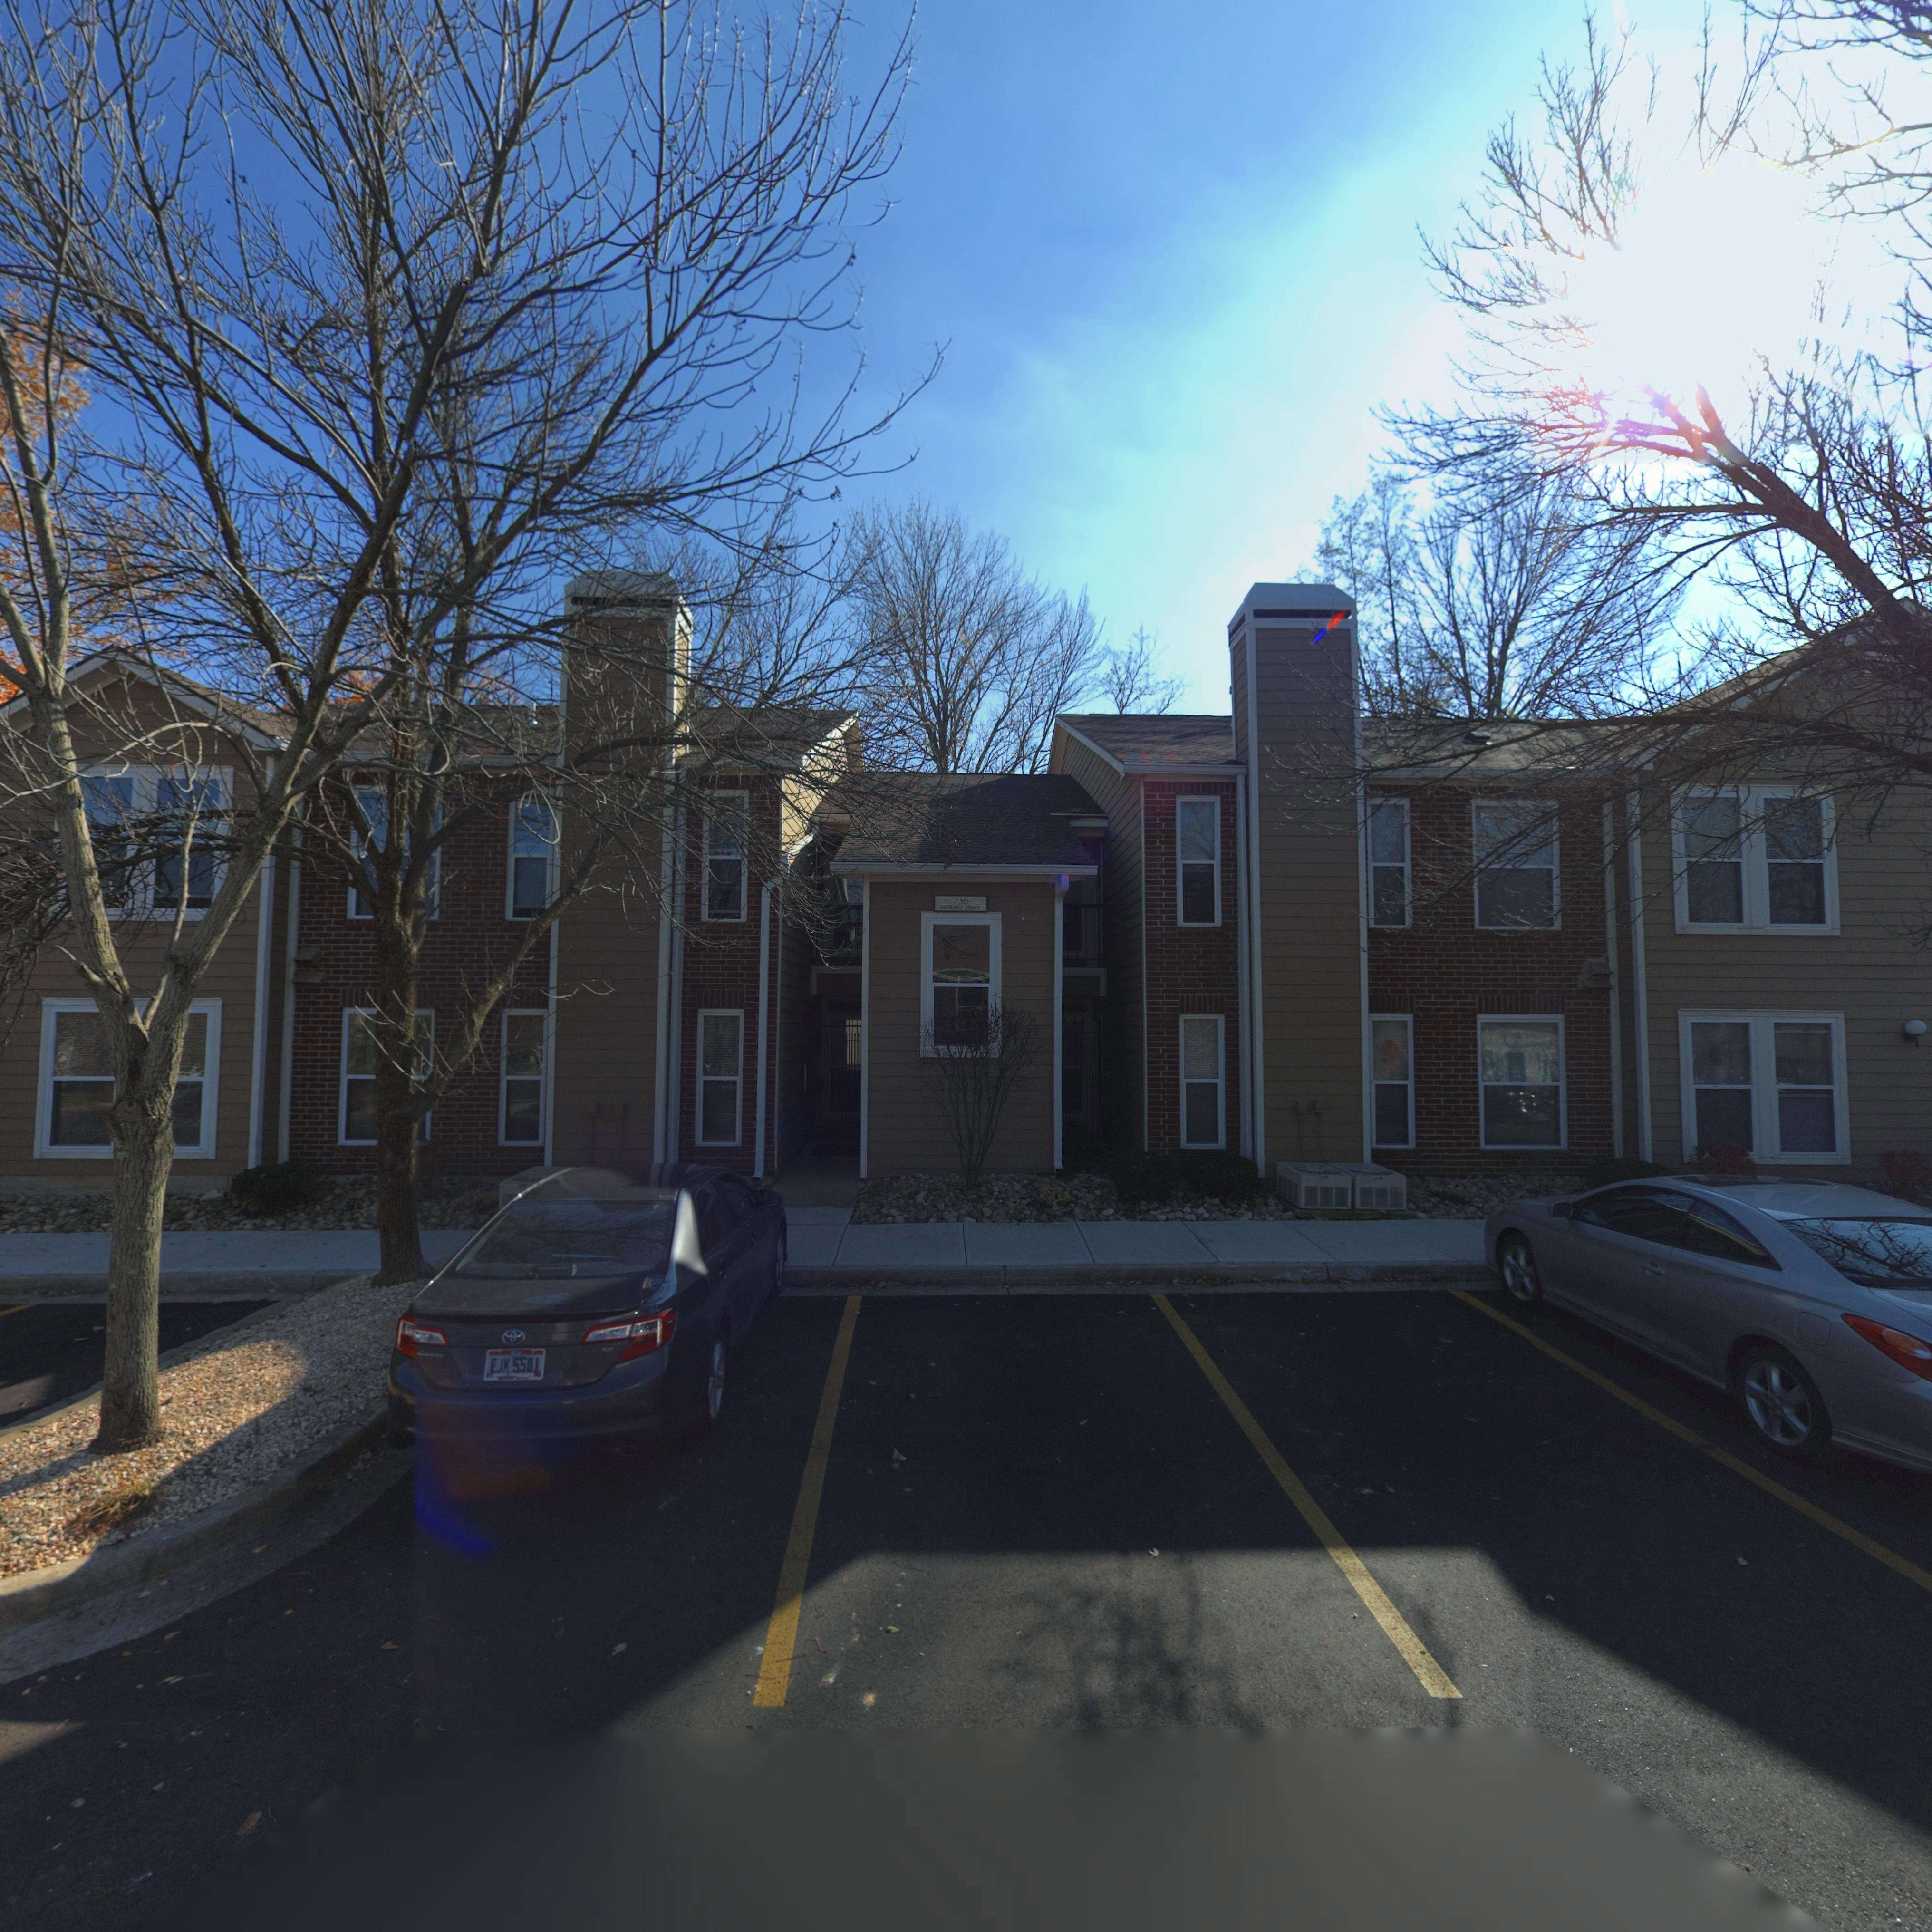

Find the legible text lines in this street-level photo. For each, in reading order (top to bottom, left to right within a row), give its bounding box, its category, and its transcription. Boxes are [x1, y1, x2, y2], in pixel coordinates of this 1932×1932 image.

[416, 1350, 447, 1359] None: CAMRY
[488, 1357, 541, 1374] None: EJK5501